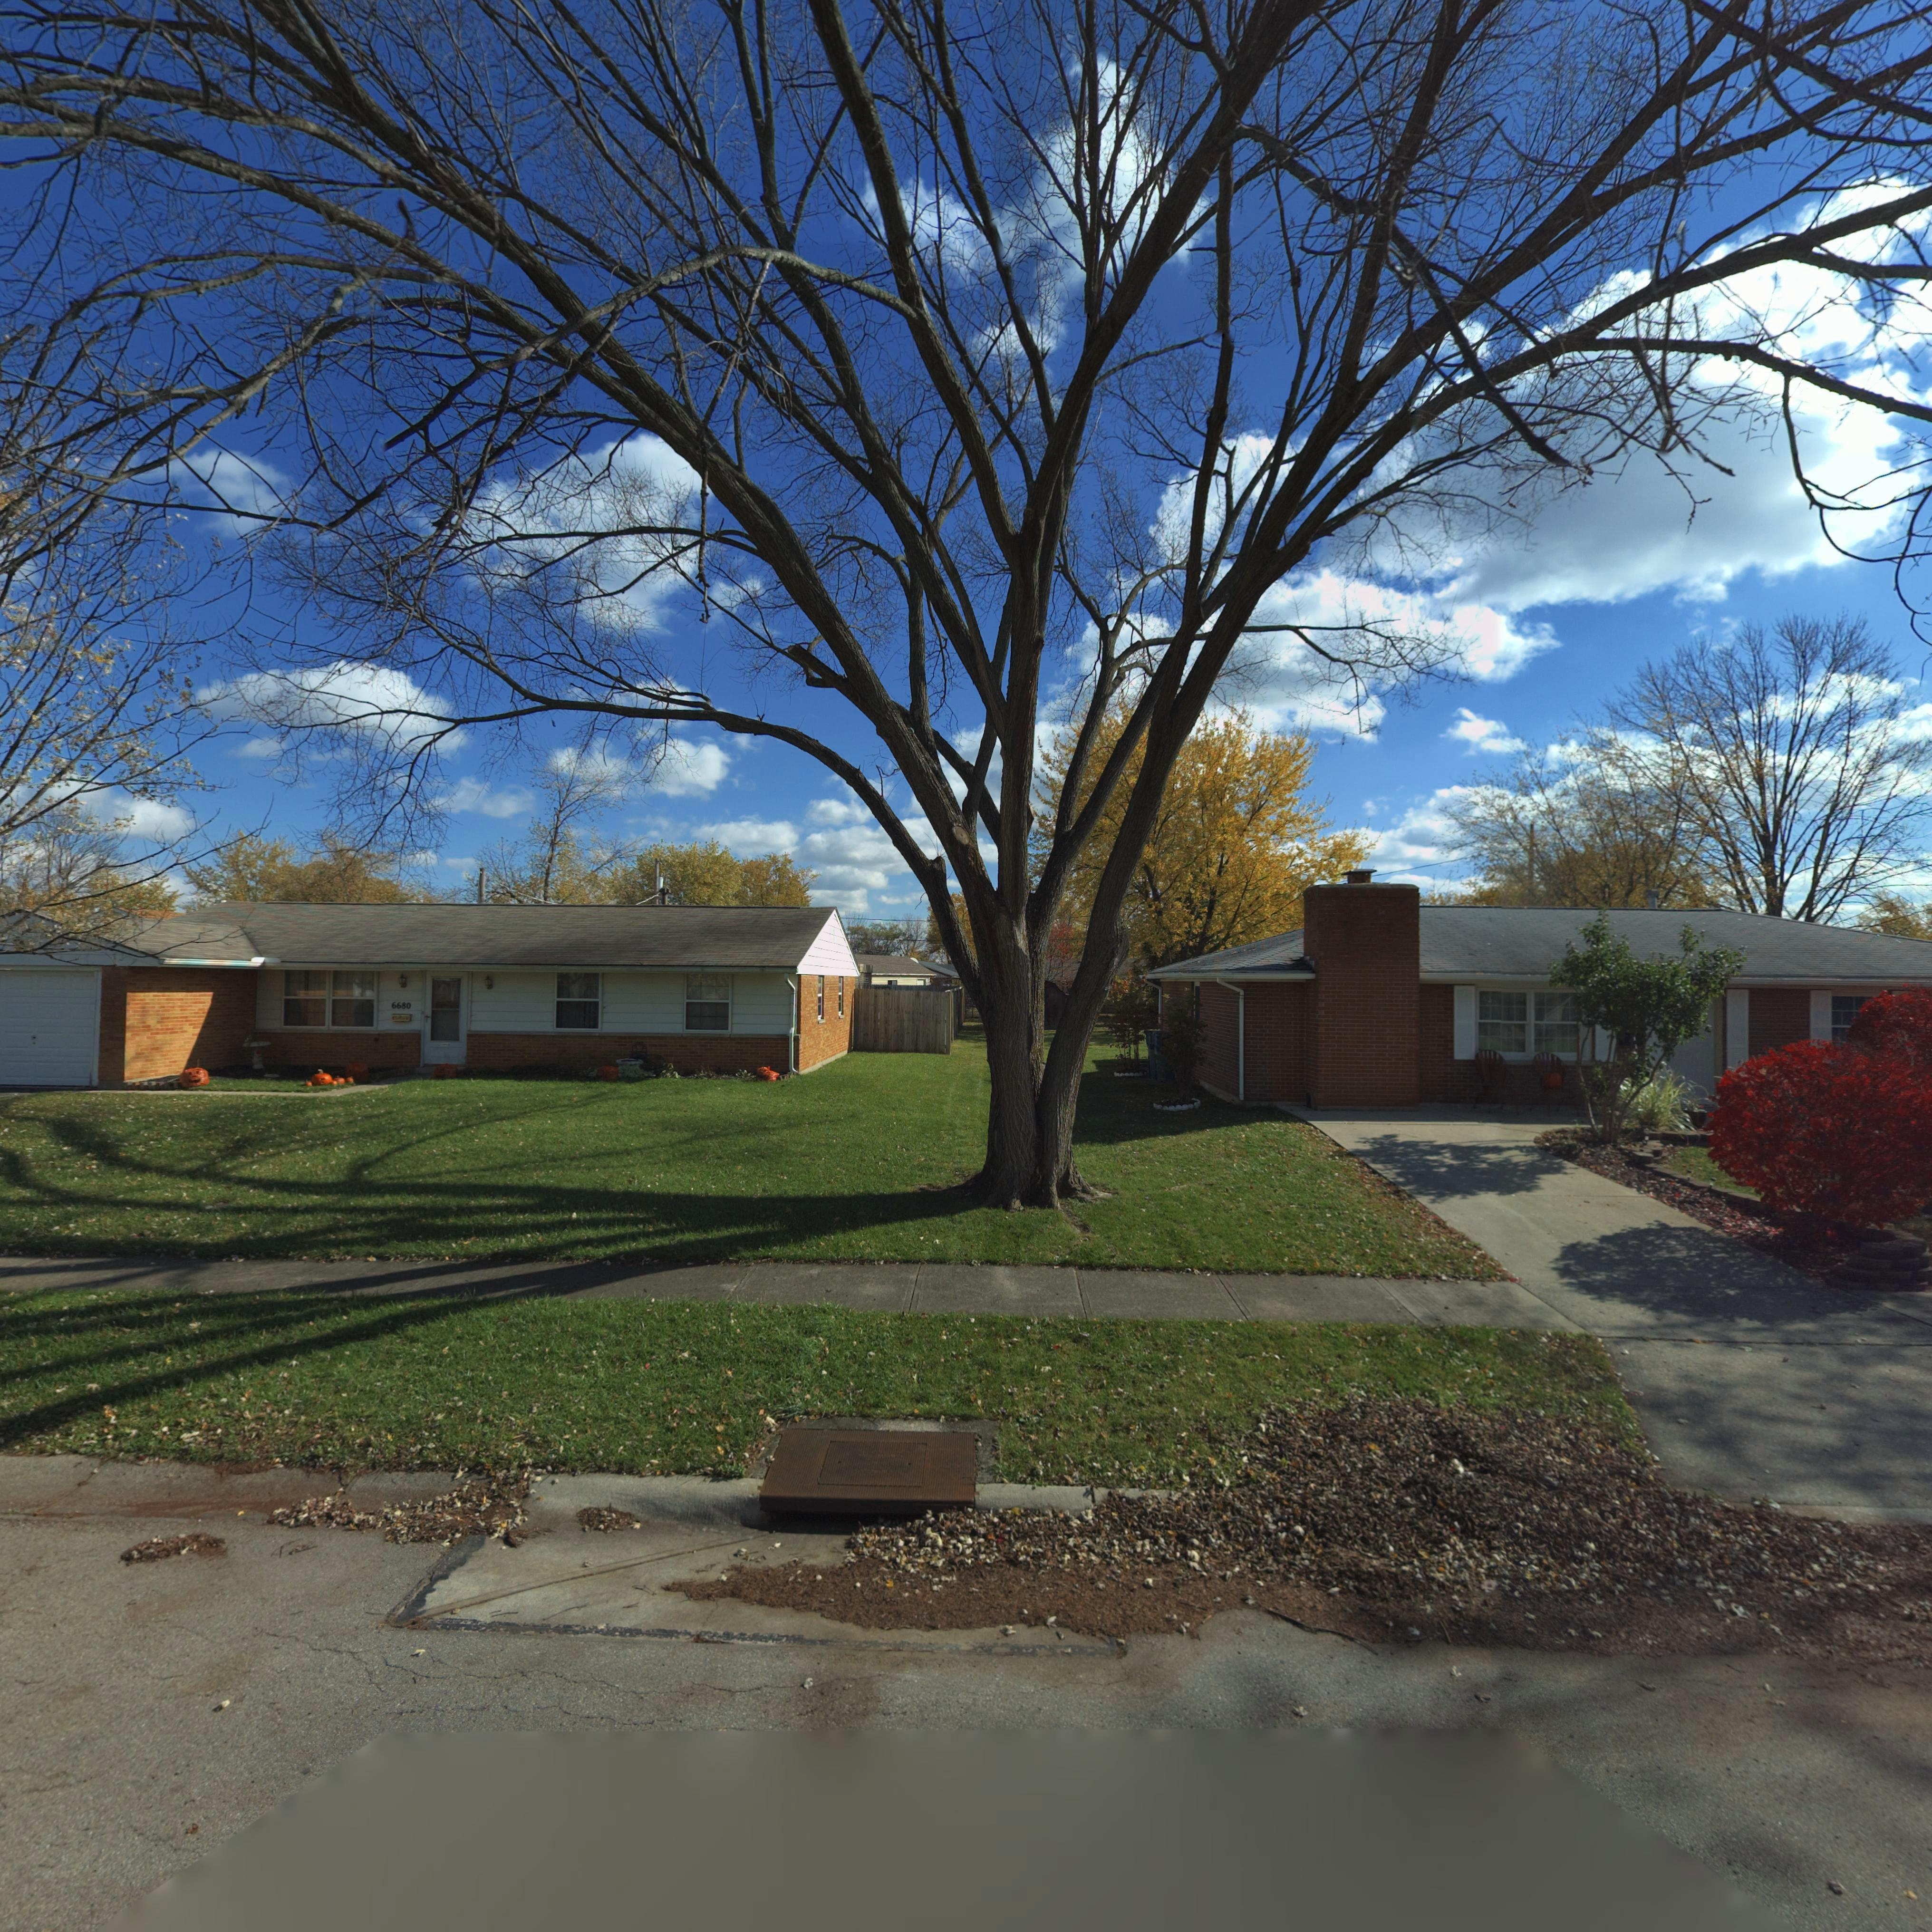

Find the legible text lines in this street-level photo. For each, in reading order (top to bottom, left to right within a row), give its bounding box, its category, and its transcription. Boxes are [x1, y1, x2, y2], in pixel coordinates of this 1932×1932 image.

[391, 1001, 411, 1009] StreetNumber: 6680